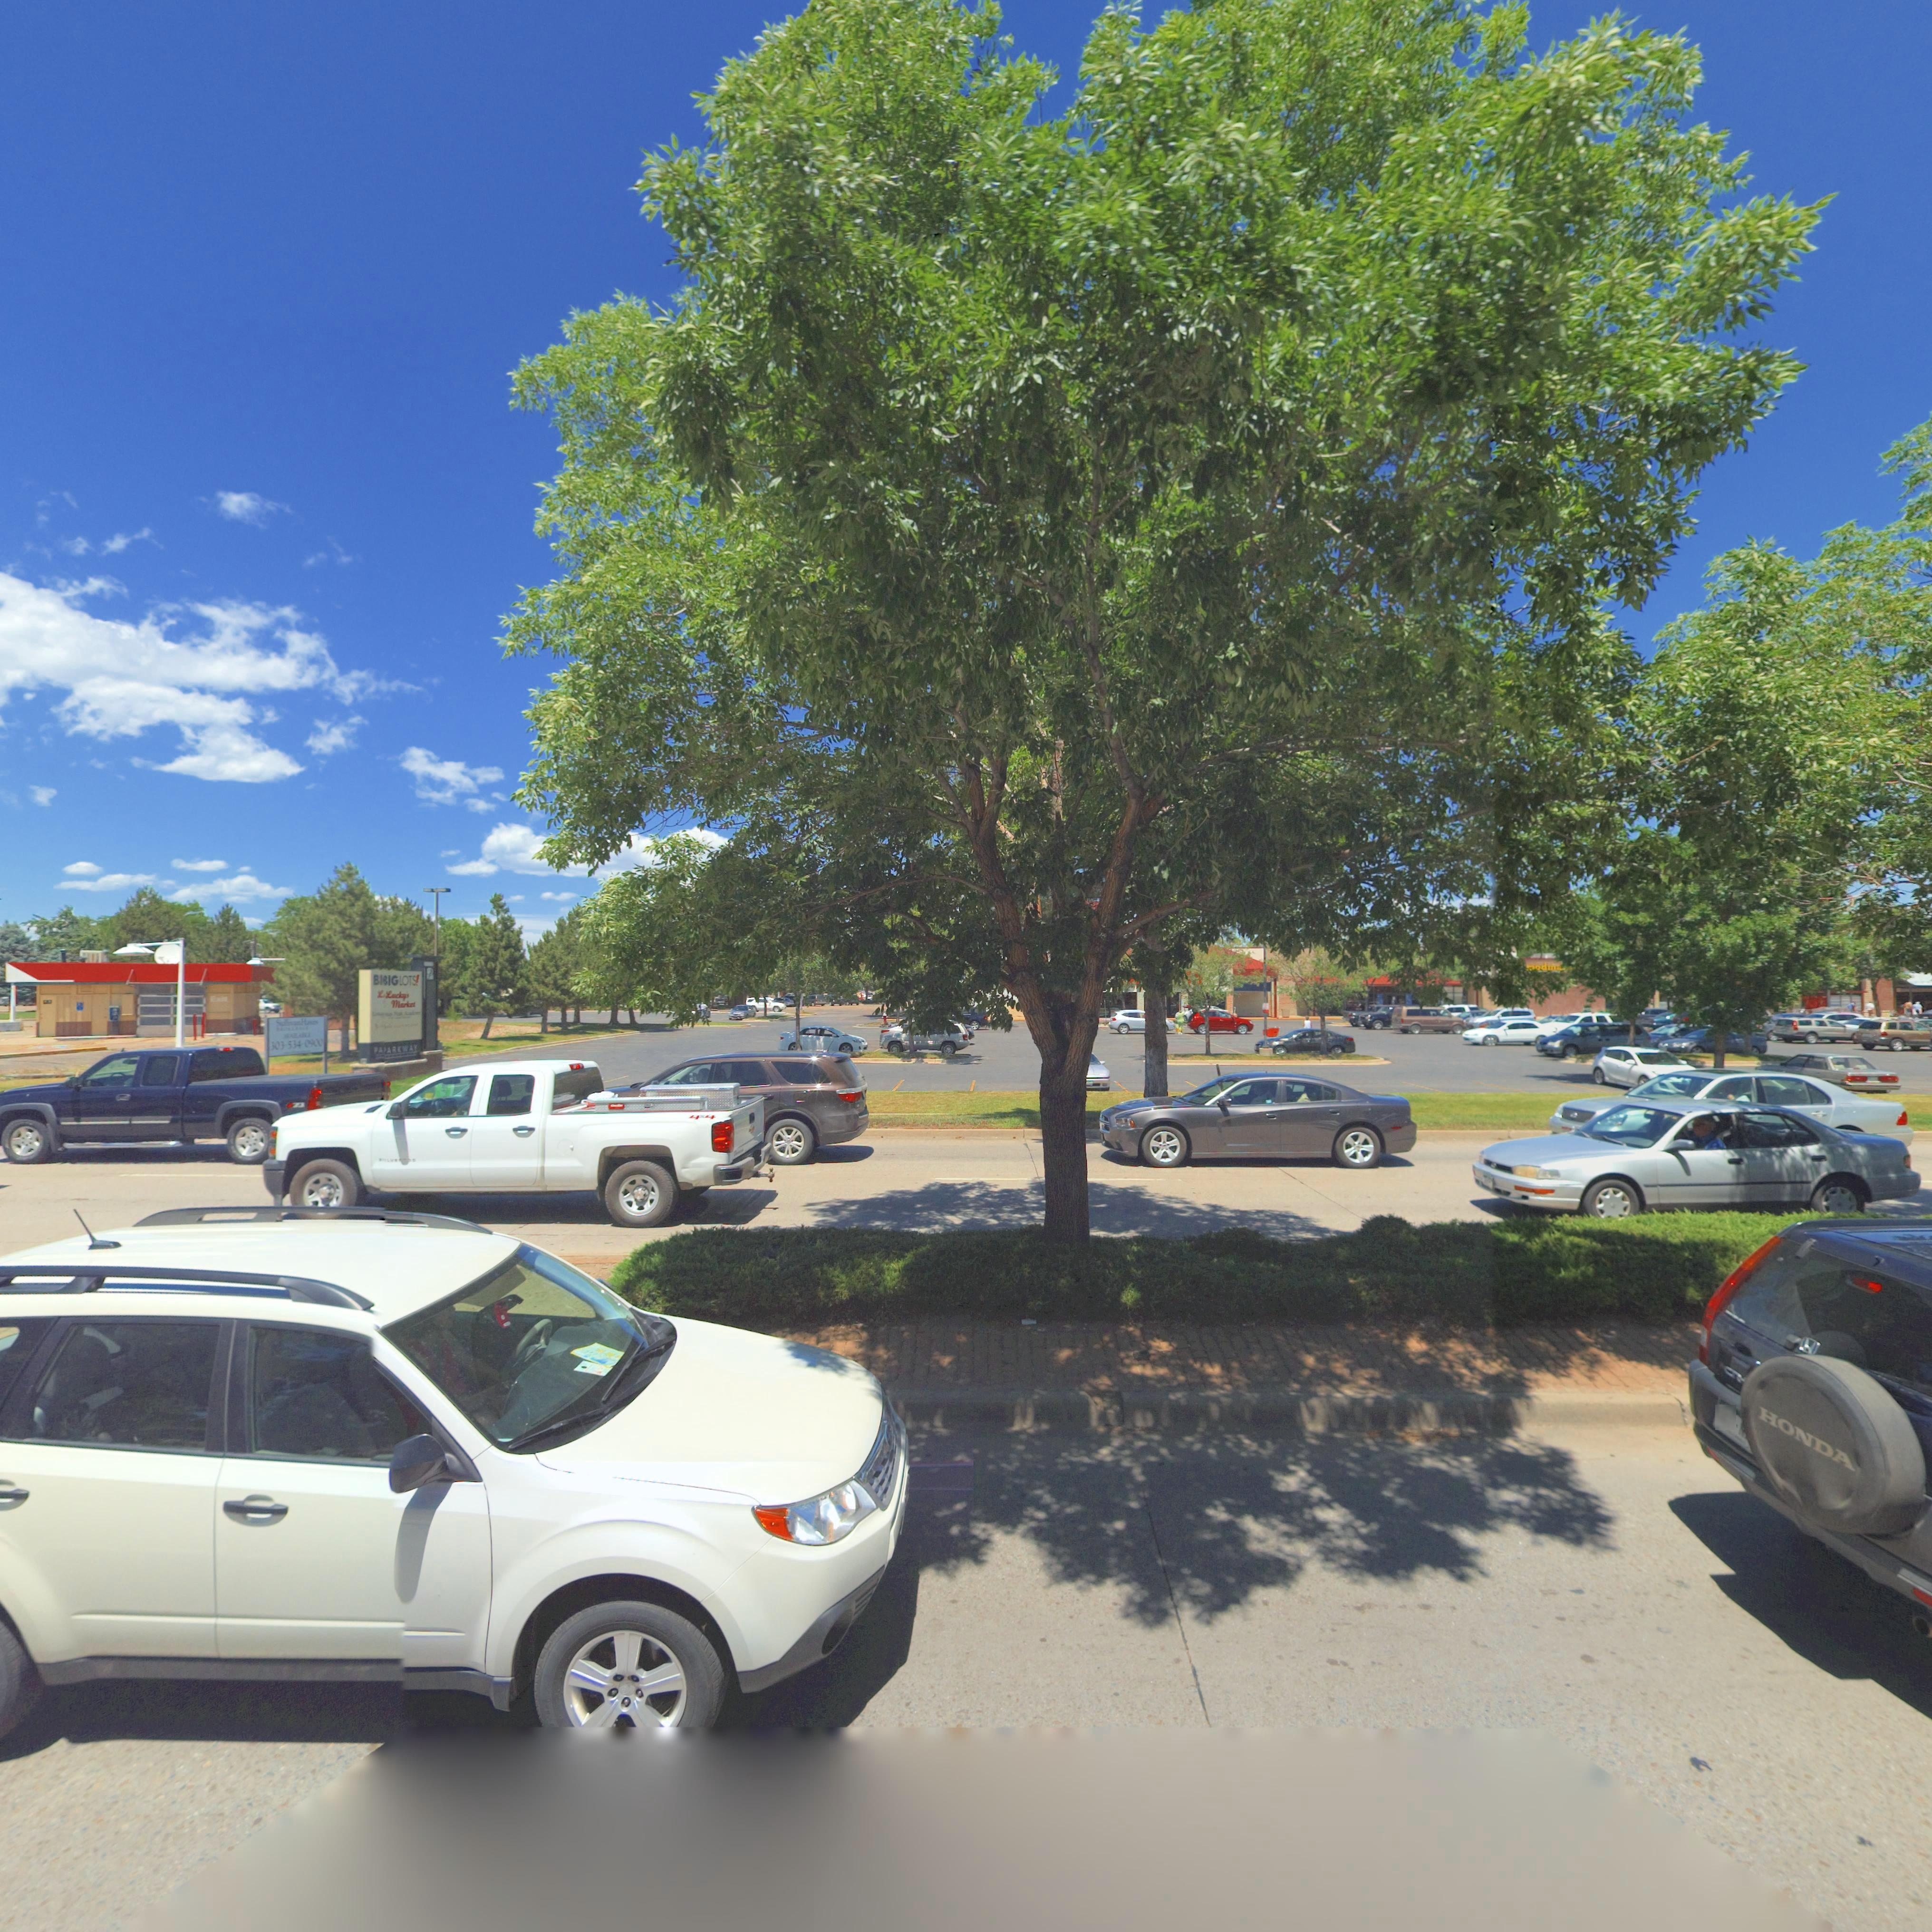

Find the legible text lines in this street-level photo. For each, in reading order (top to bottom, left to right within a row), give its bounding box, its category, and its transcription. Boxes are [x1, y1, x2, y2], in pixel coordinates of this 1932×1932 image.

[373, 974, 416, 985] BusinessName: BI*IGLOTS
[376, 989, 410, 1001] BusinessName: L*Lucky*
[390, 999, 415, 1008] BusinessName: Mark**